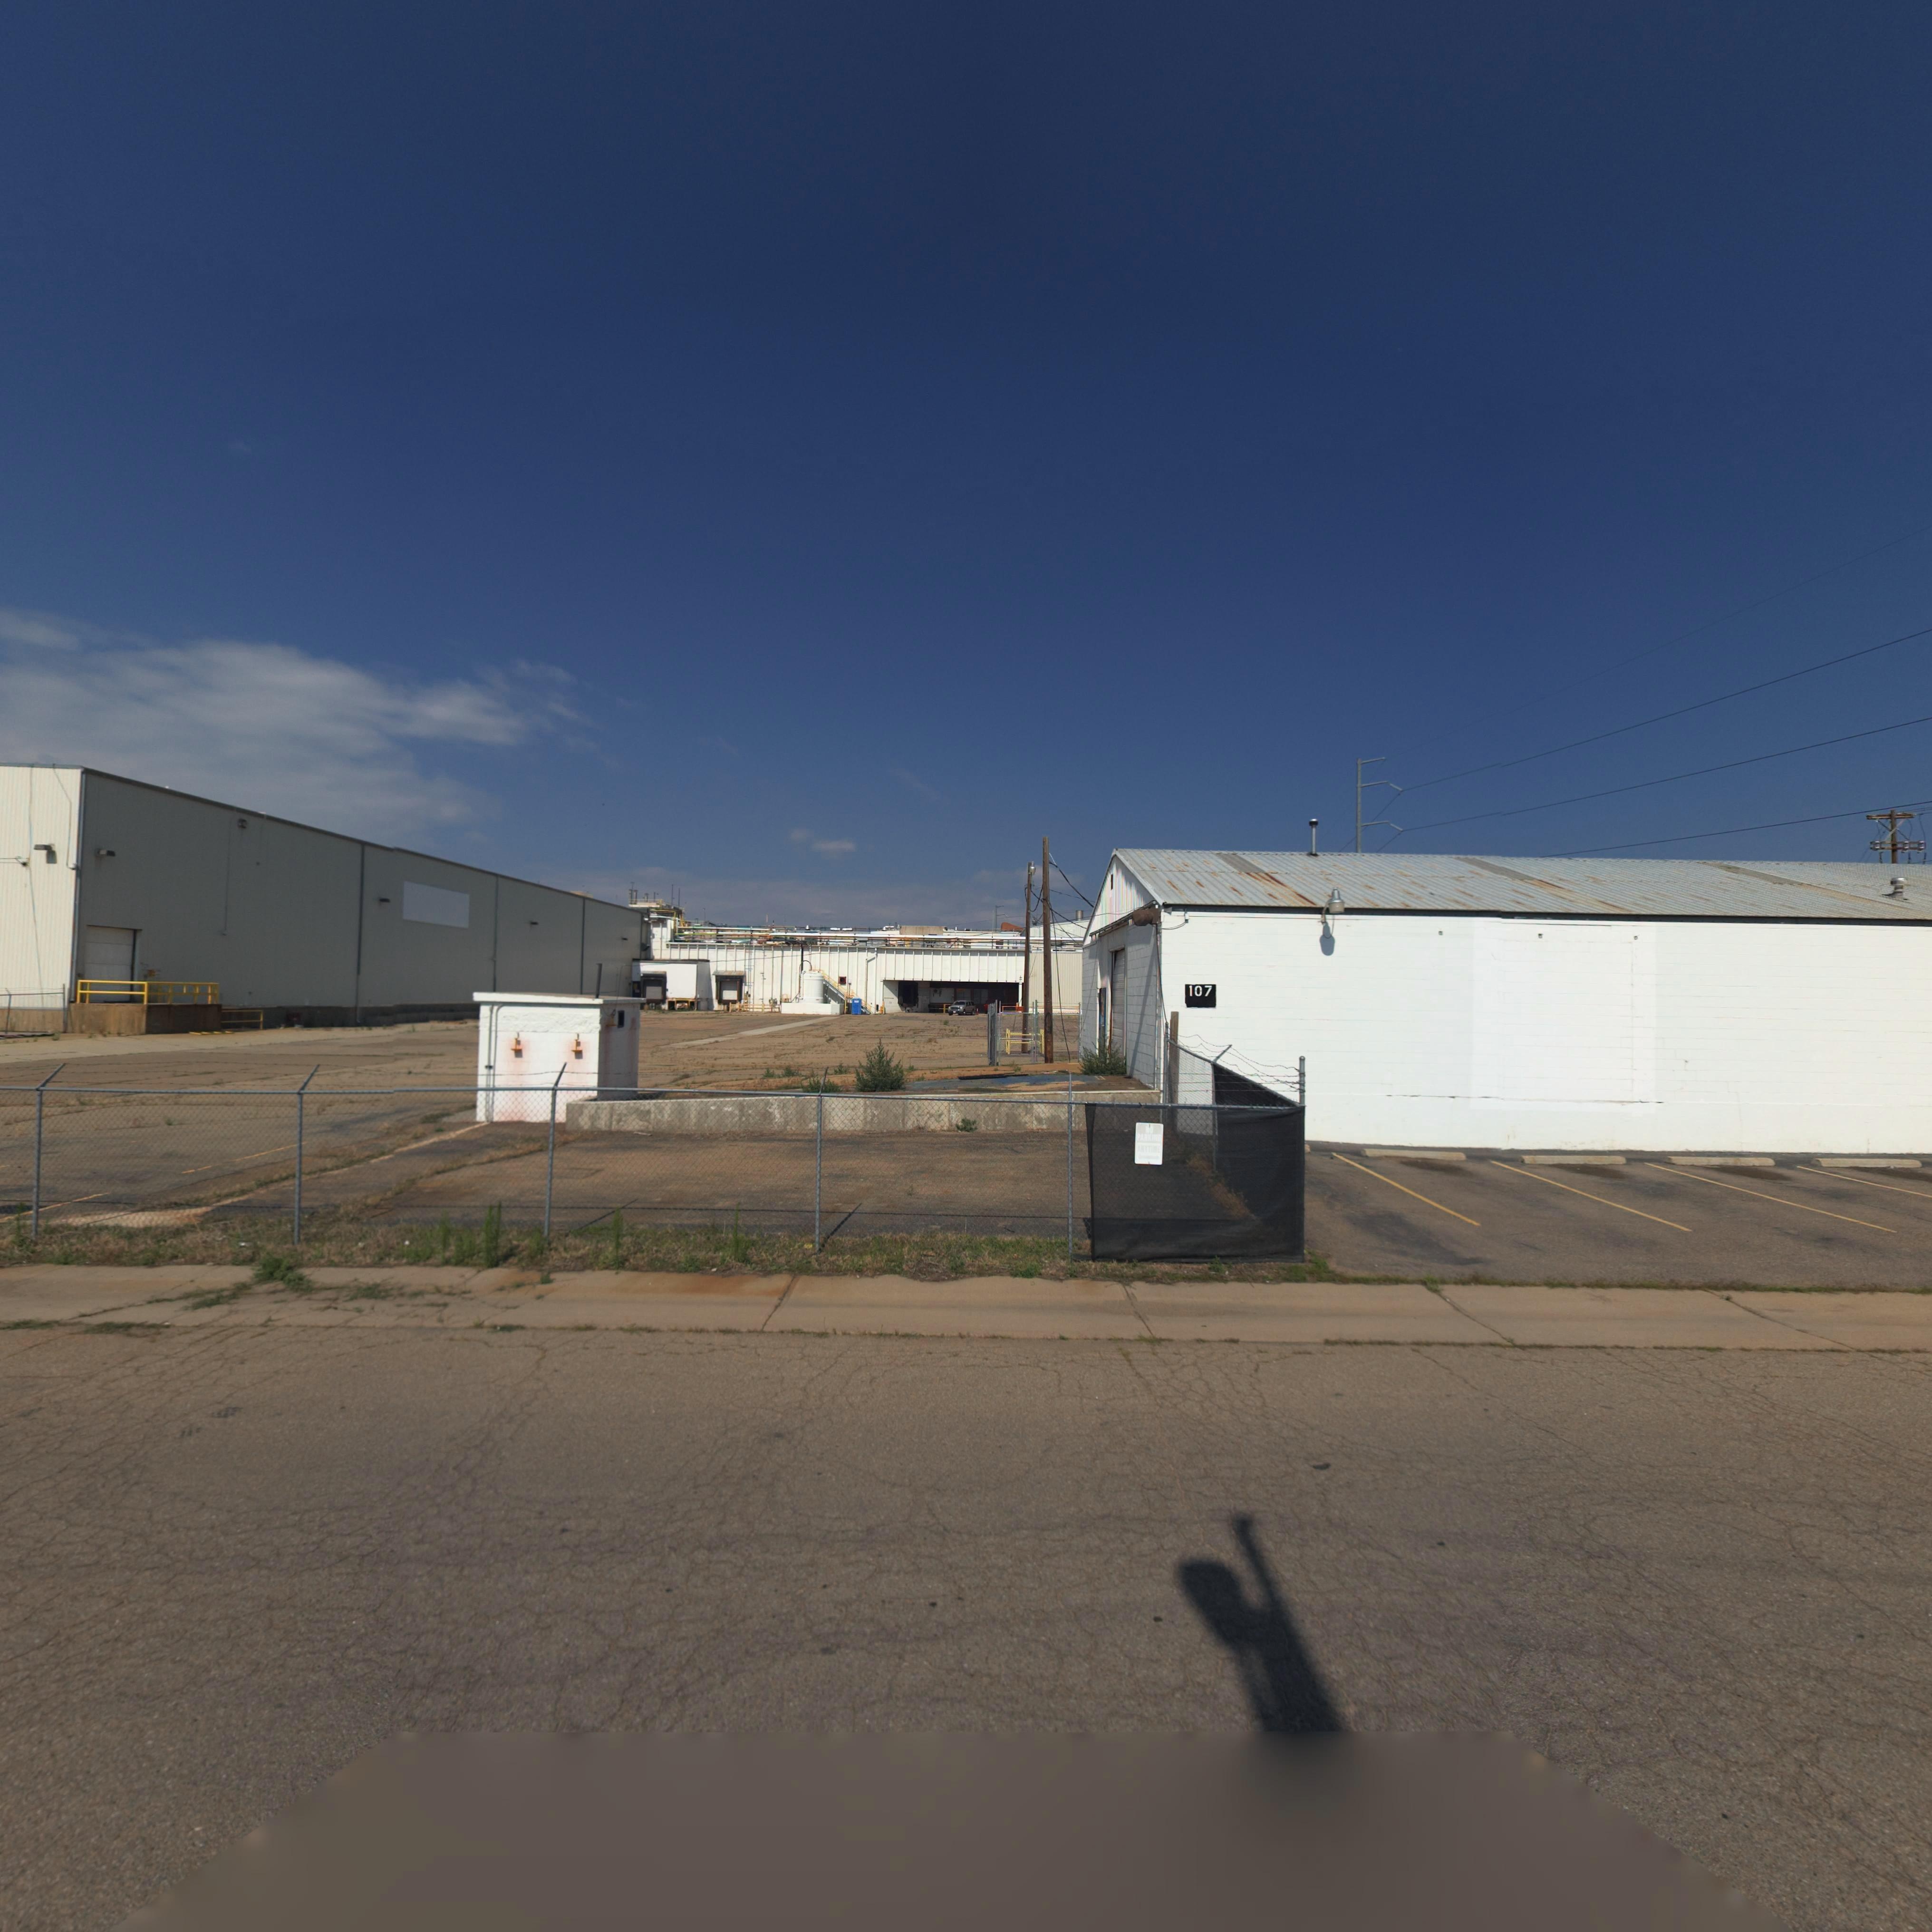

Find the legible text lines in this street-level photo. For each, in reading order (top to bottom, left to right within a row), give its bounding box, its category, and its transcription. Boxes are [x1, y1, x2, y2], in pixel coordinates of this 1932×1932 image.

[1188, 985, 1212, 996] StreetNumber: 107